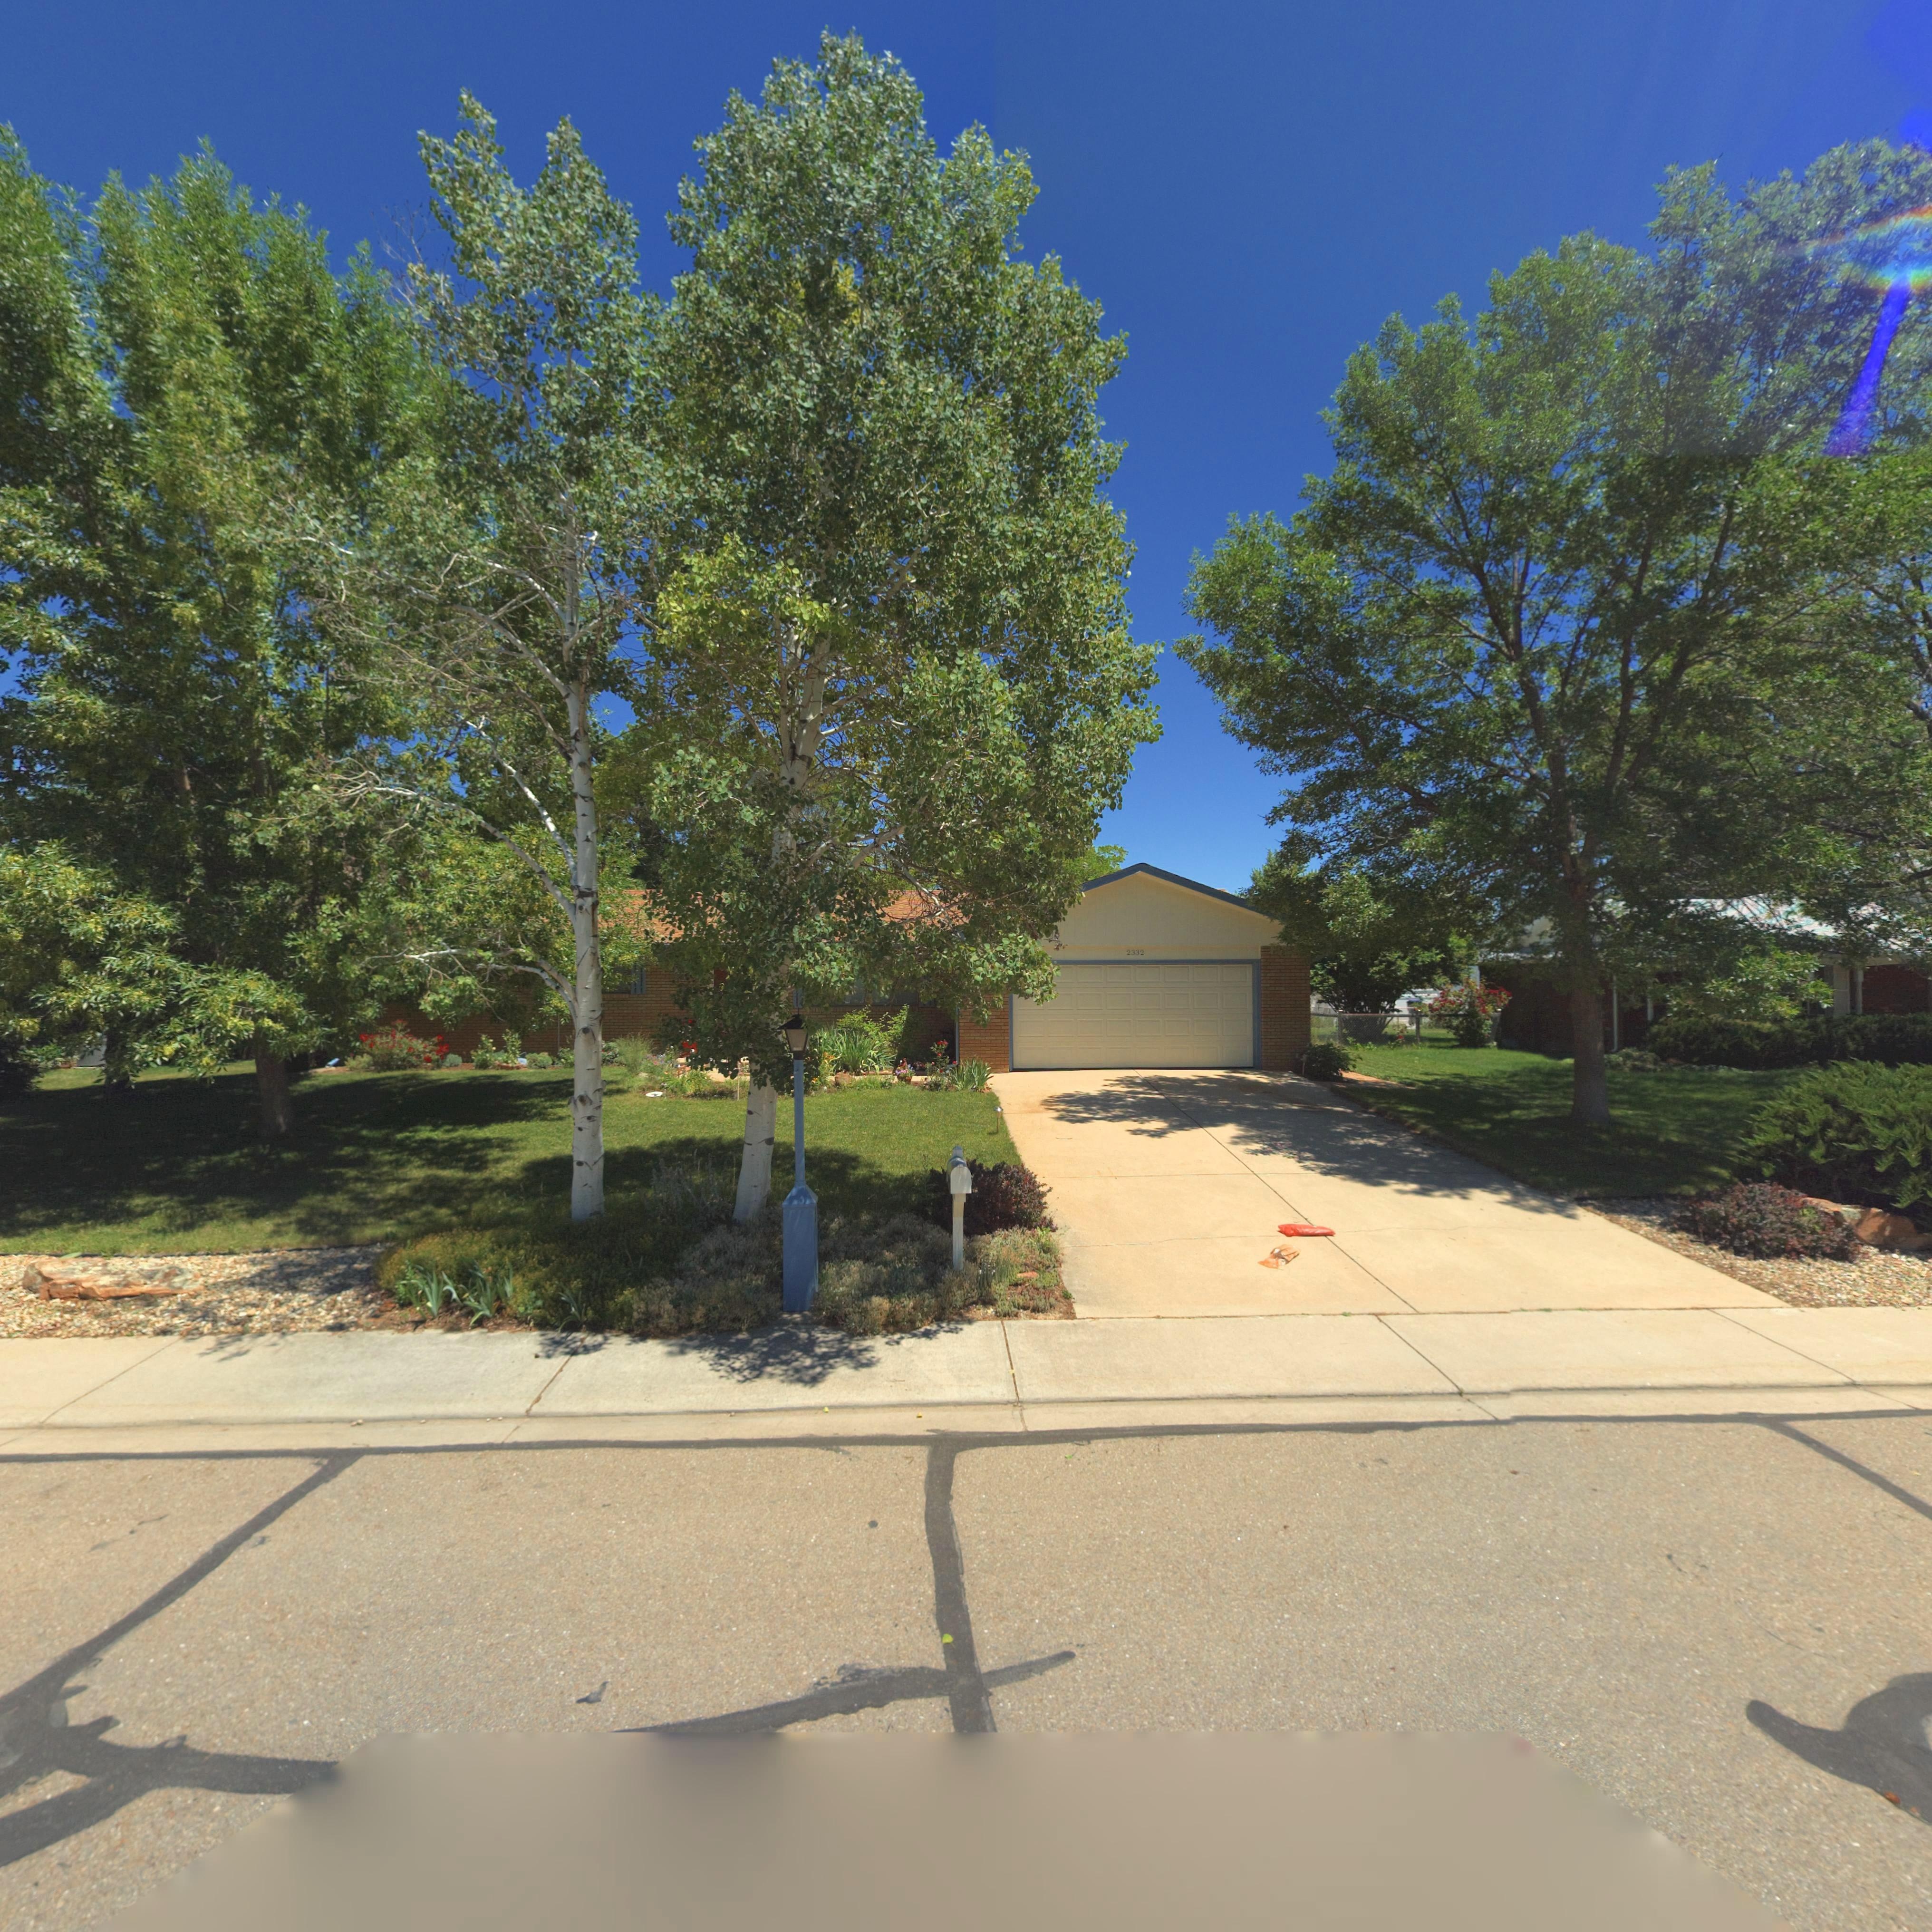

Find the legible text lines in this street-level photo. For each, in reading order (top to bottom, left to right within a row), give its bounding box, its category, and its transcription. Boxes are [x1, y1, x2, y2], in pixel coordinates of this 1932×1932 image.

[1126, 949, 1144, 955] None: 2332